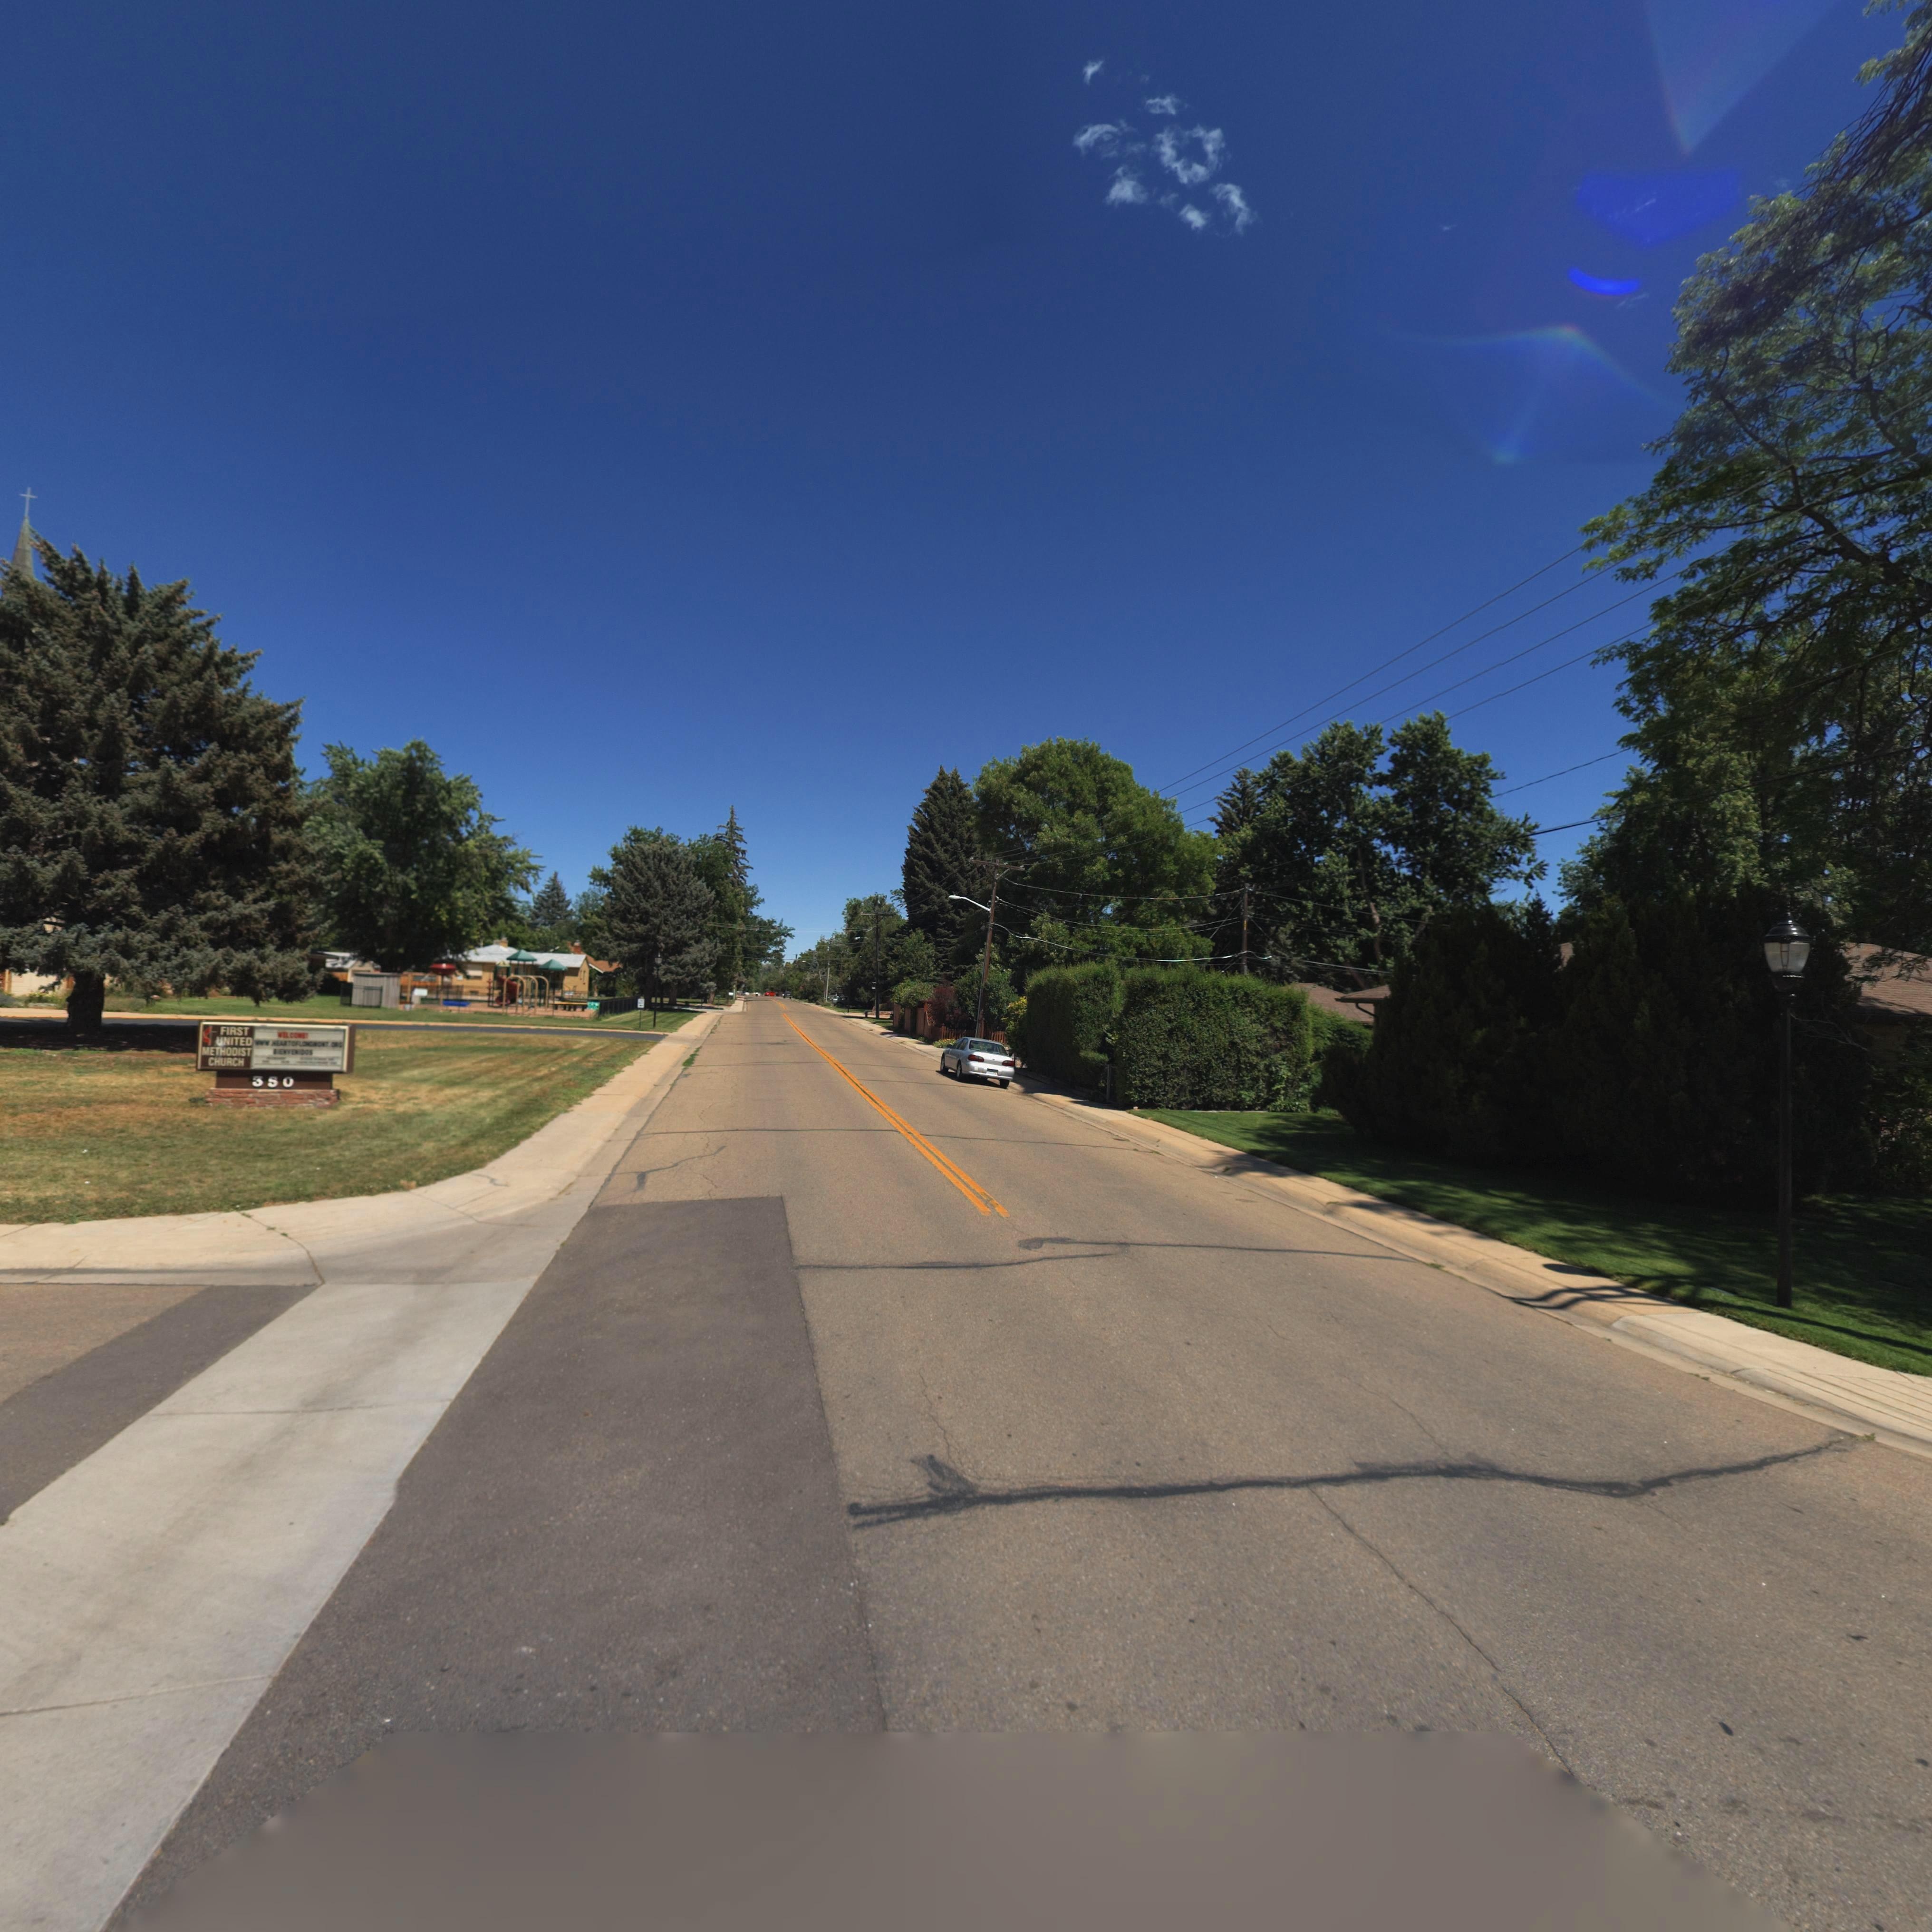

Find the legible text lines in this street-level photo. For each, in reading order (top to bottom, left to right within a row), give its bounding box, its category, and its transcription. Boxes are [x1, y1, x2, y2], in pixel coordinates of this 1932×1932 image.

[220, 1026, 250, 1036] BusinessName: FIRST
[216, 1036, 252, 1046] BusinessName: UNITED
[201, 1046, 252, 1057] BusinessName: METHODIST
[207, 1056, 245, 1067] BusinessName: CHURCH
[251, 1075, 294, 1088] StreetNumber: 350